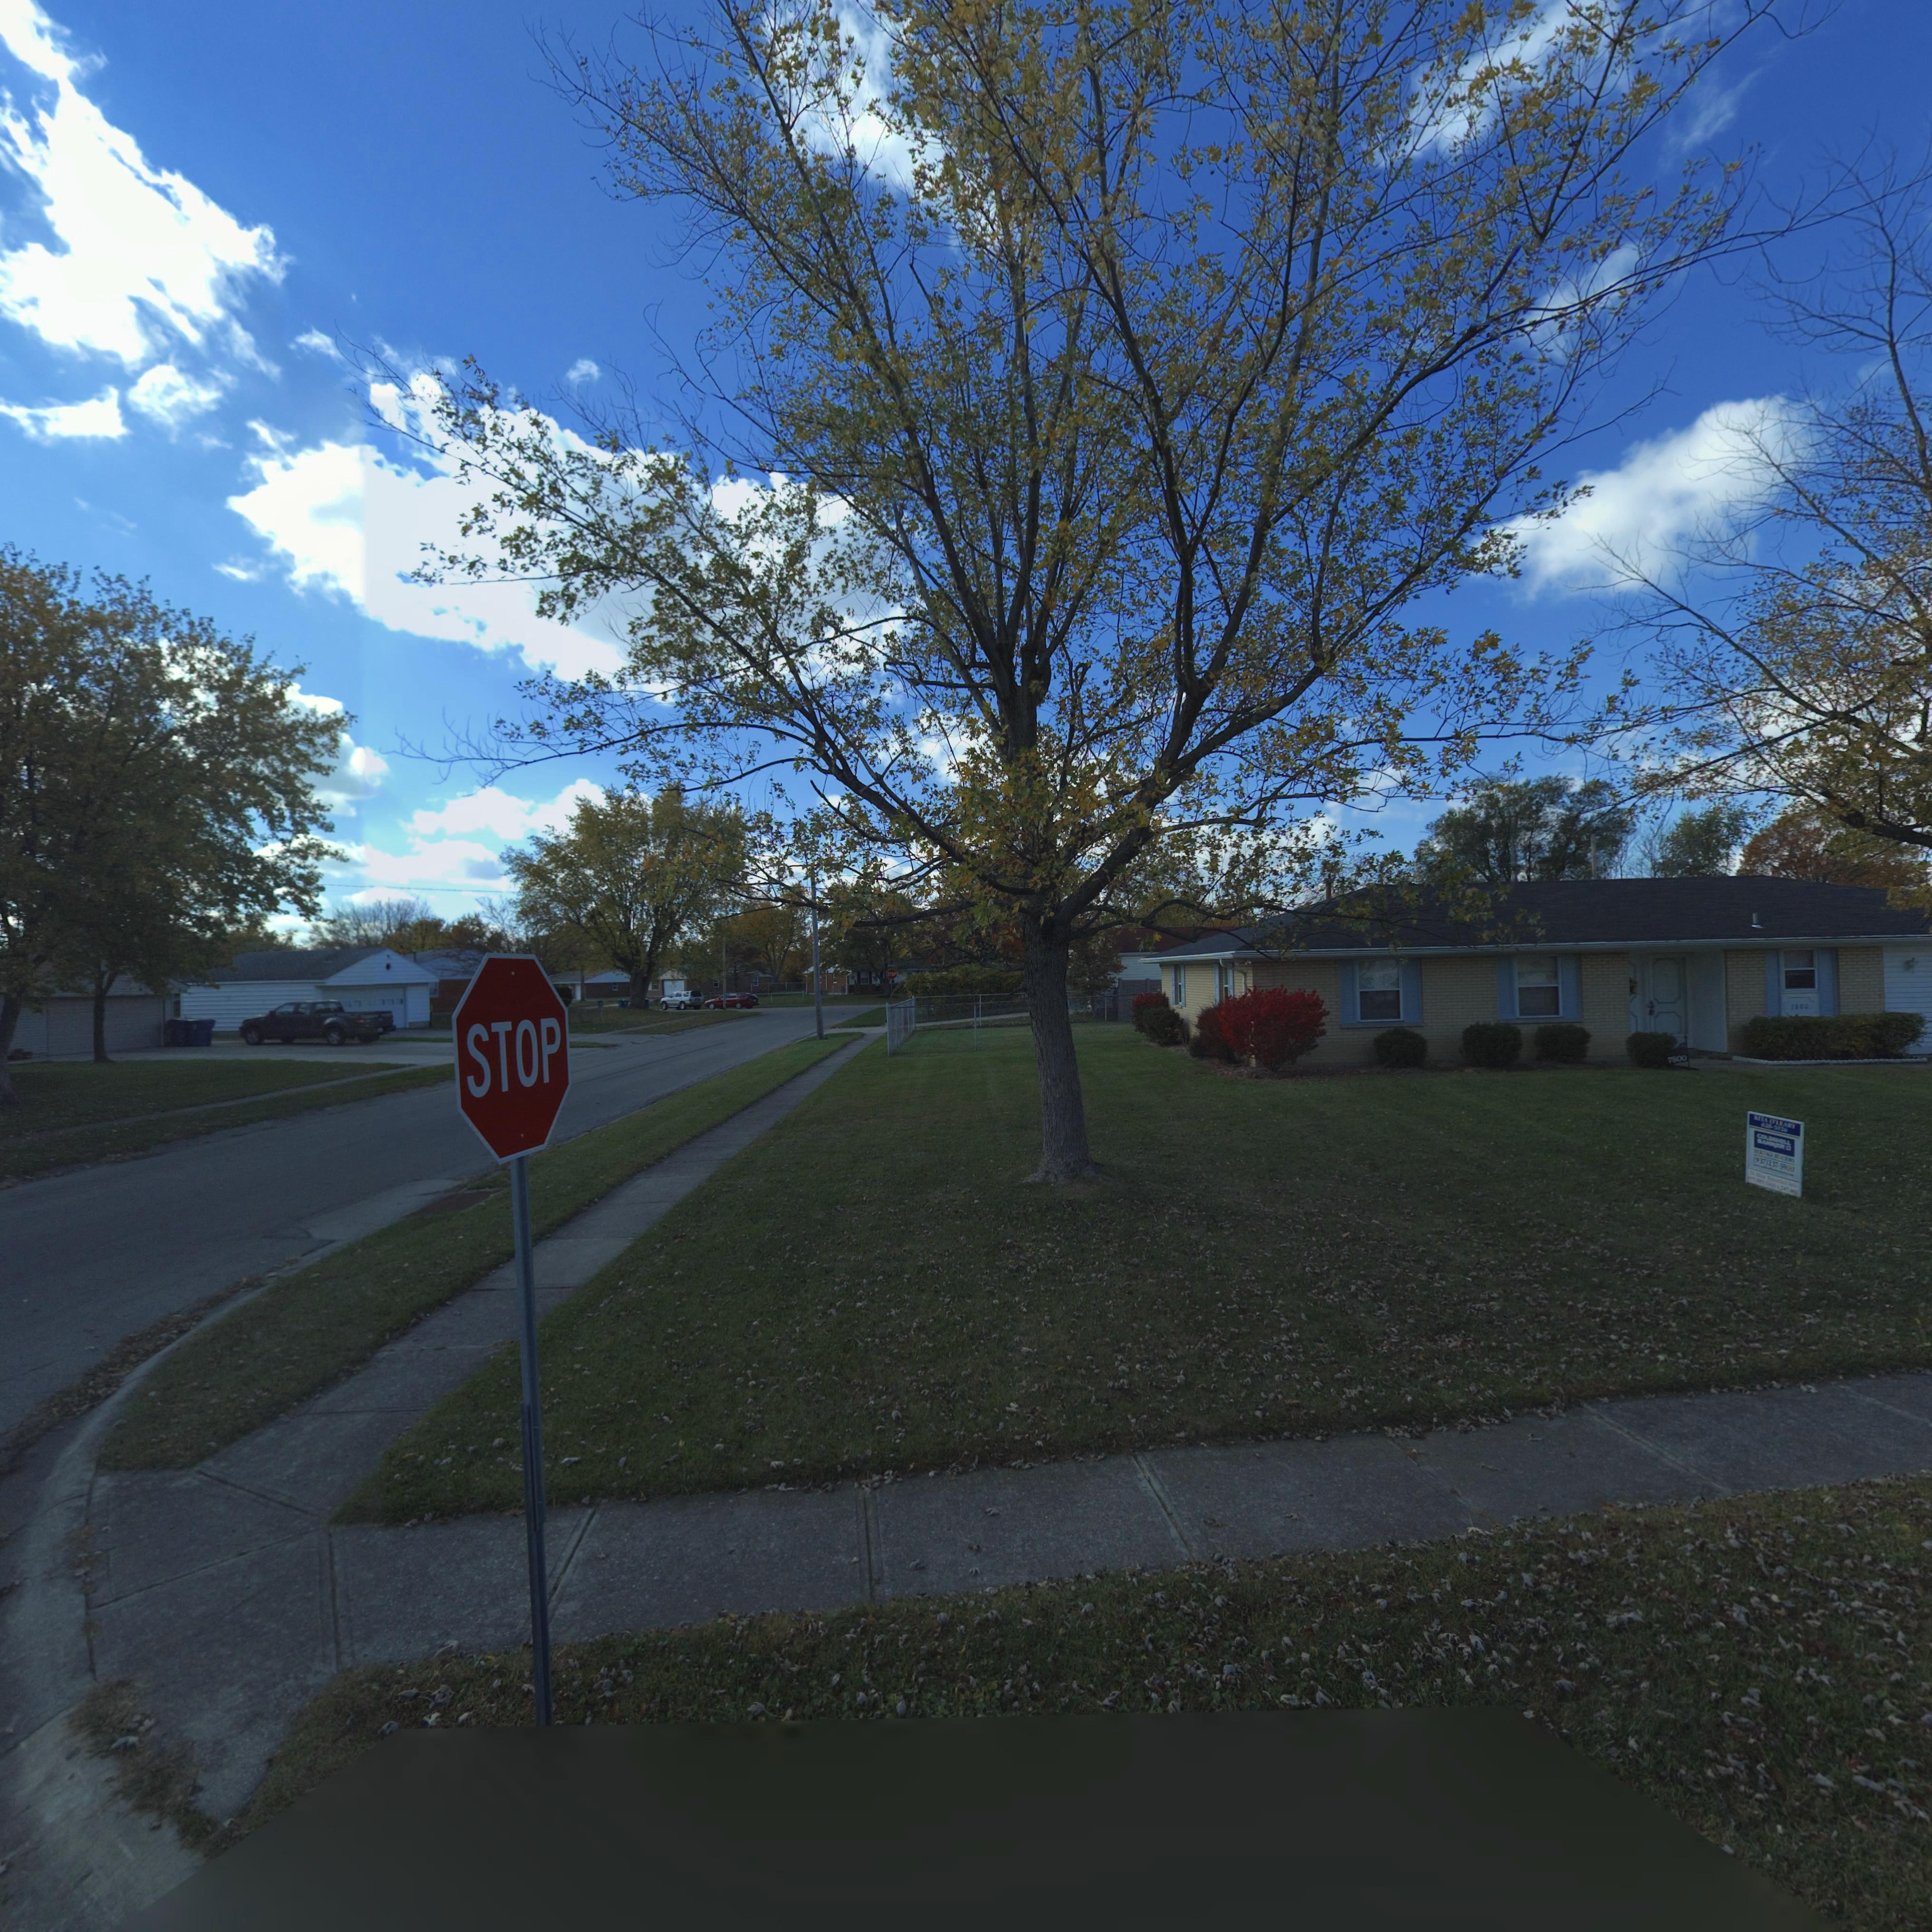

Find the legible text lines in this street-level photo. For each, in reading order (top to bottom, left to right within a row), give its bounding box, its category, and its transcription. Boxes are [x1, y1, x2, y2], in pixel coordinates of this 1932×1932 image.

[1789, 1004, 1809, 1010] StreetNumber: 7800
[1667, 1054, 1688, 1064] StreetNumber: 7800